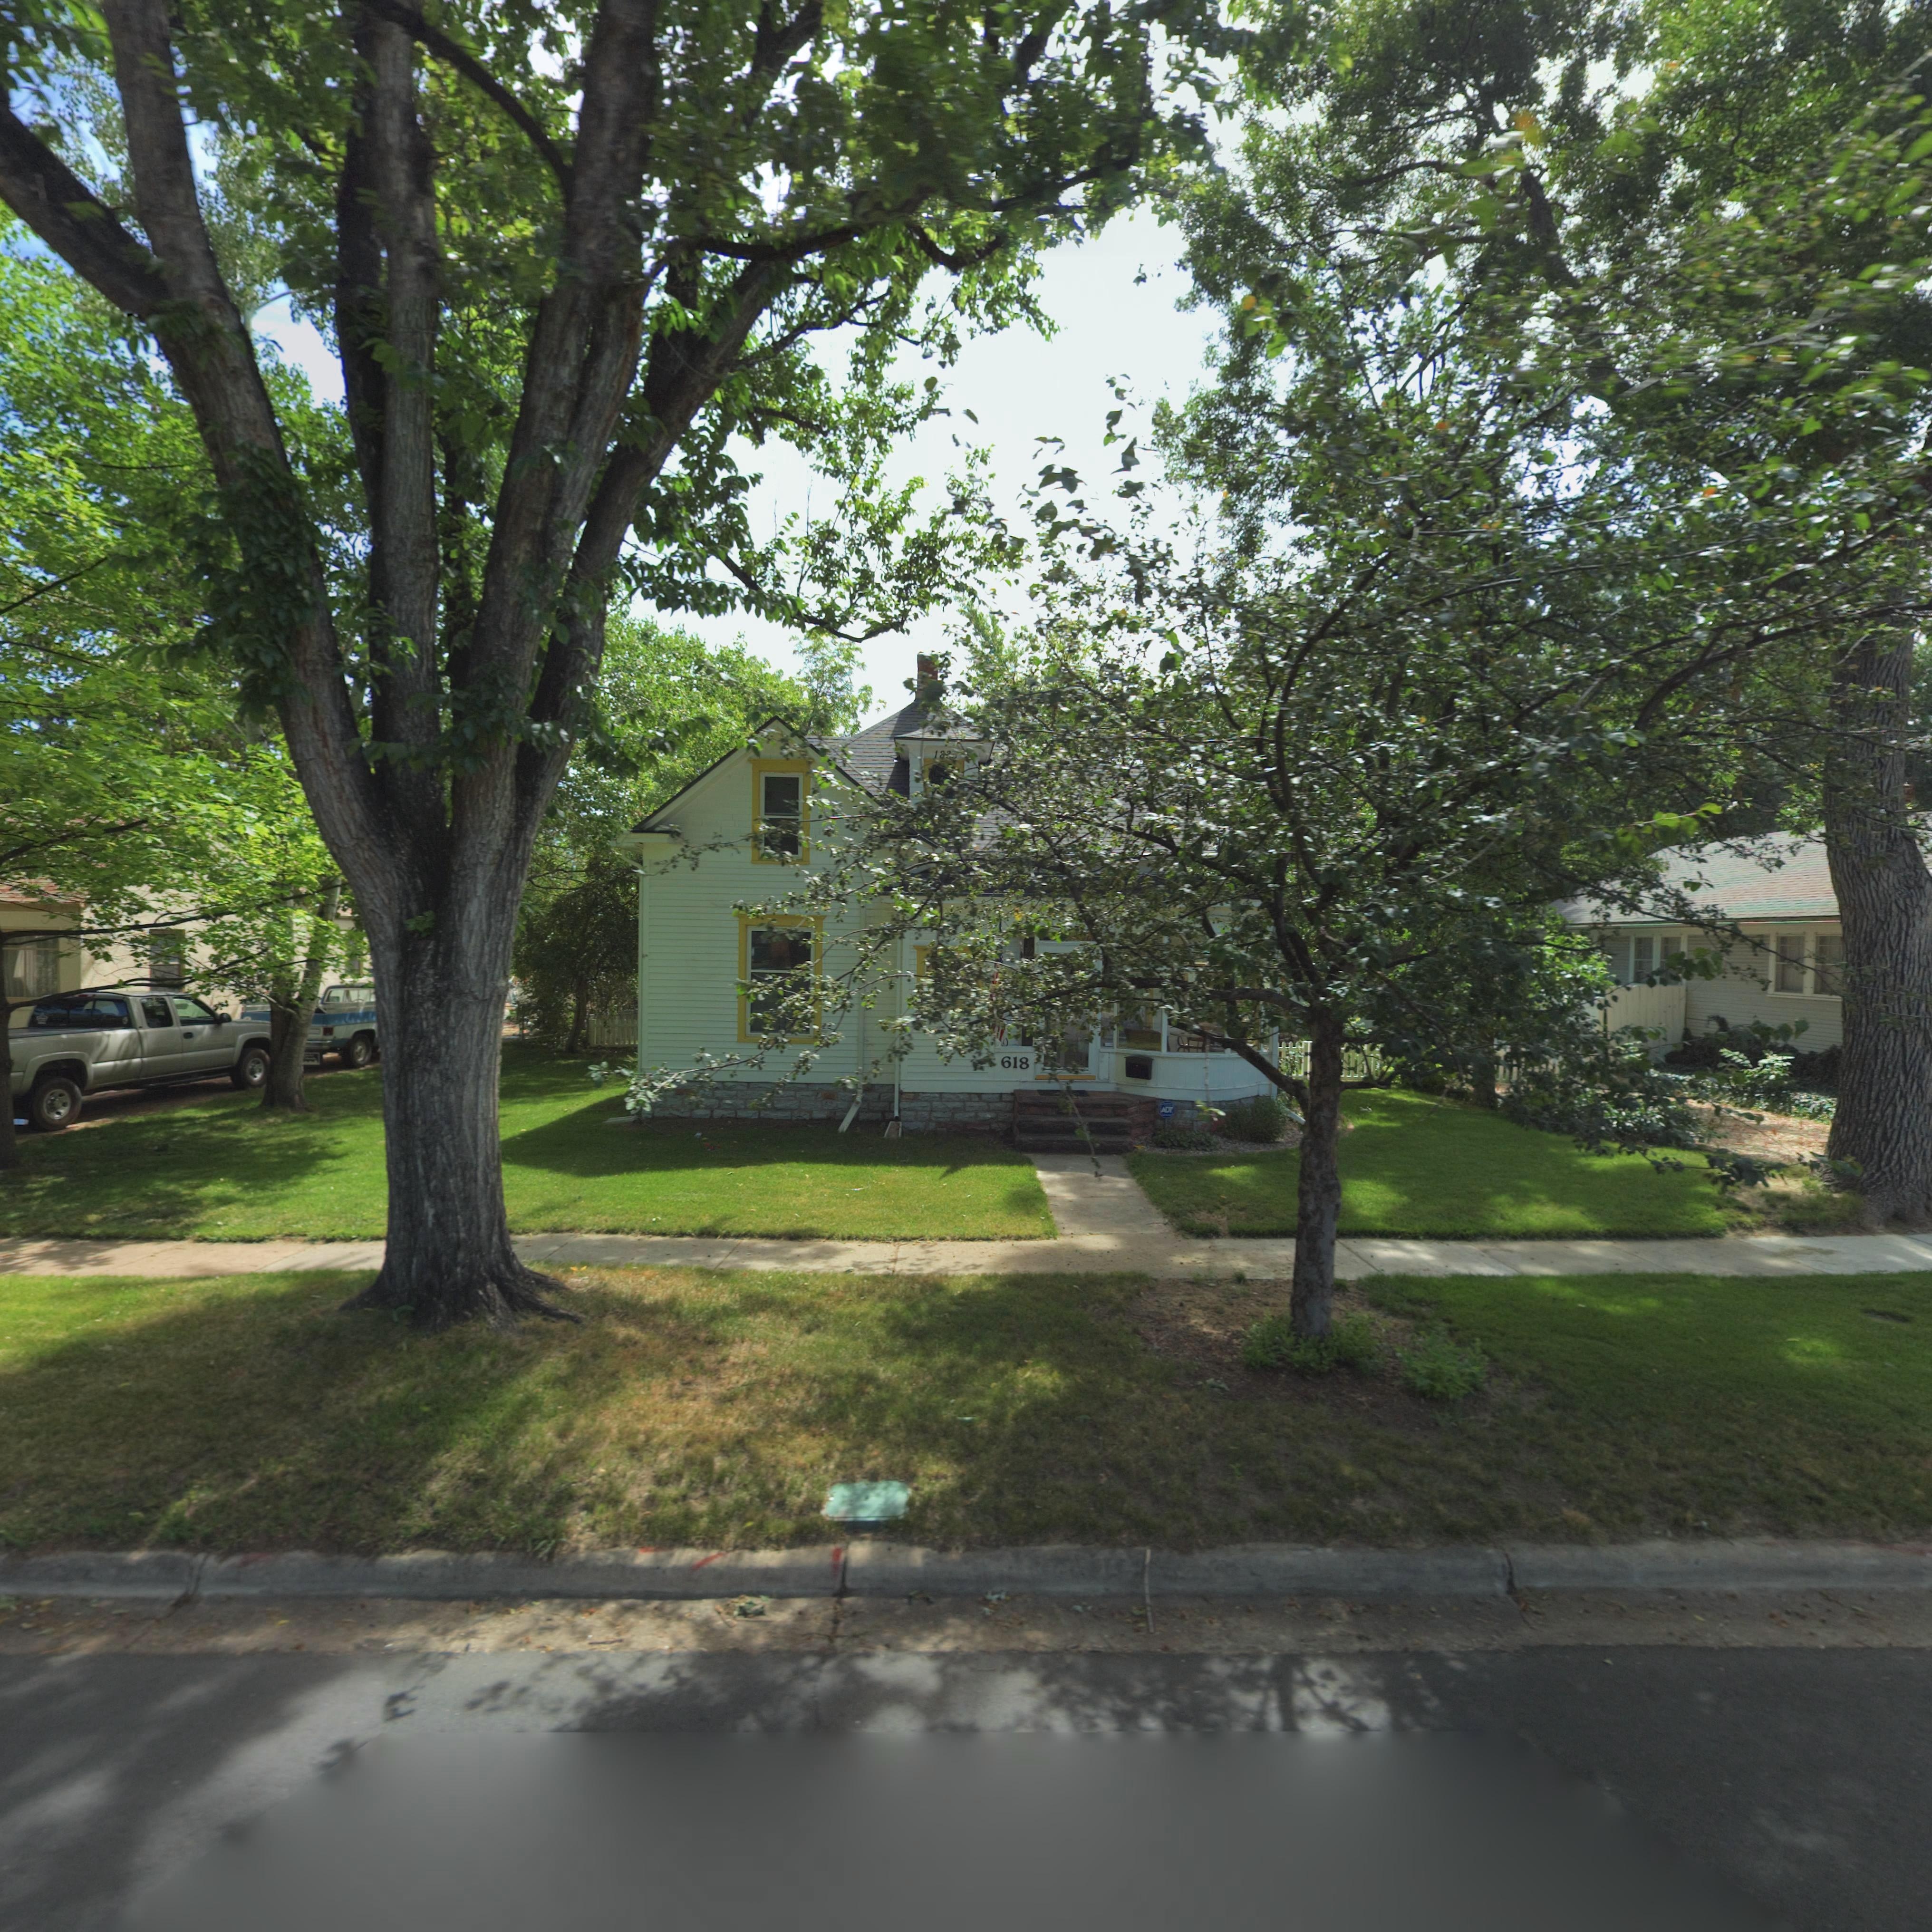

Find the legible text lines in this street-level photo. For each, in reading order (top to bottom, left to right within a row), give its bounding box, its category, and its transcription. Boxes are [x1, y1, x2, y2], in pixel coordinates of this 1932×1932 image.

[1001, 1055, 1030, 1069] StreetNumber: 618